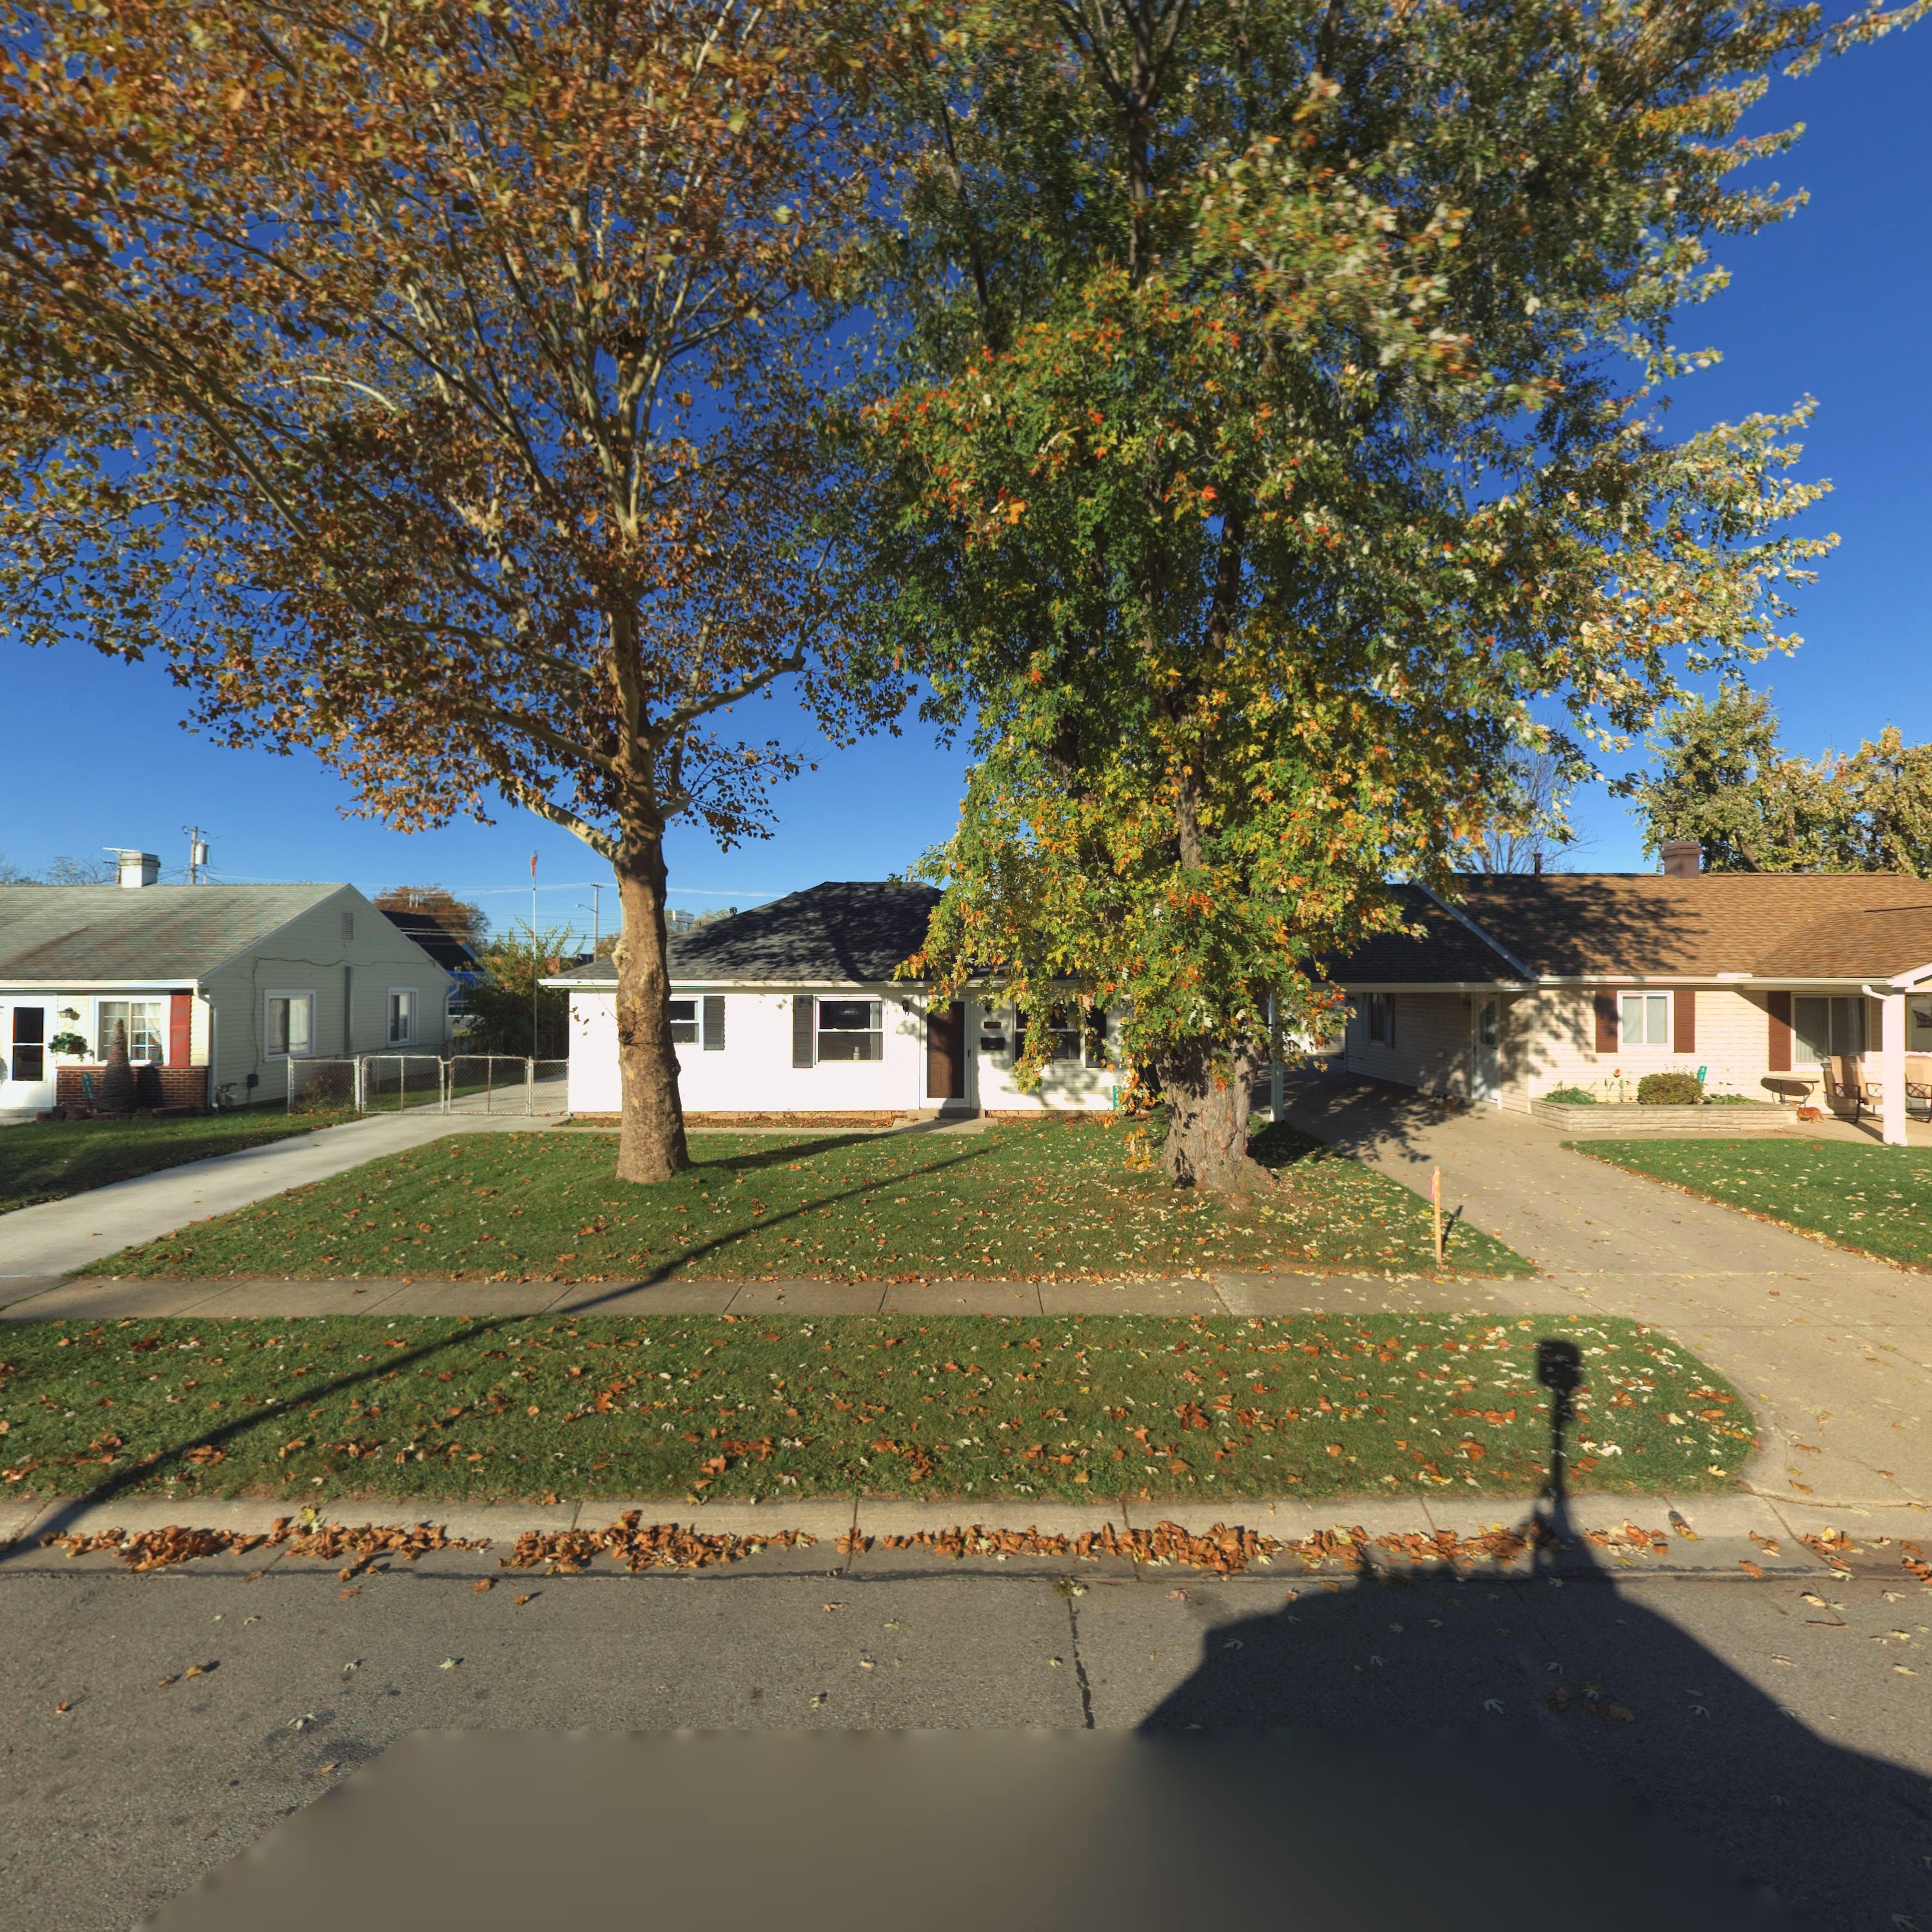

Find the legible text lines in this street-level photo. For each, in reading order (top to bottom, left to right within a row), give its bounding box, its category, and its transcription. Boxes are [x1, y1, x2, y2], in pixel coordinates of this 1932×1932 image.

[984, 1022, 1001, 1028] StreetNumber: 5*09
[82, 1073, 94, 1100] StreetNumber: 5112
[1115, 1093, 1119, 1099] StreetNumber: 1